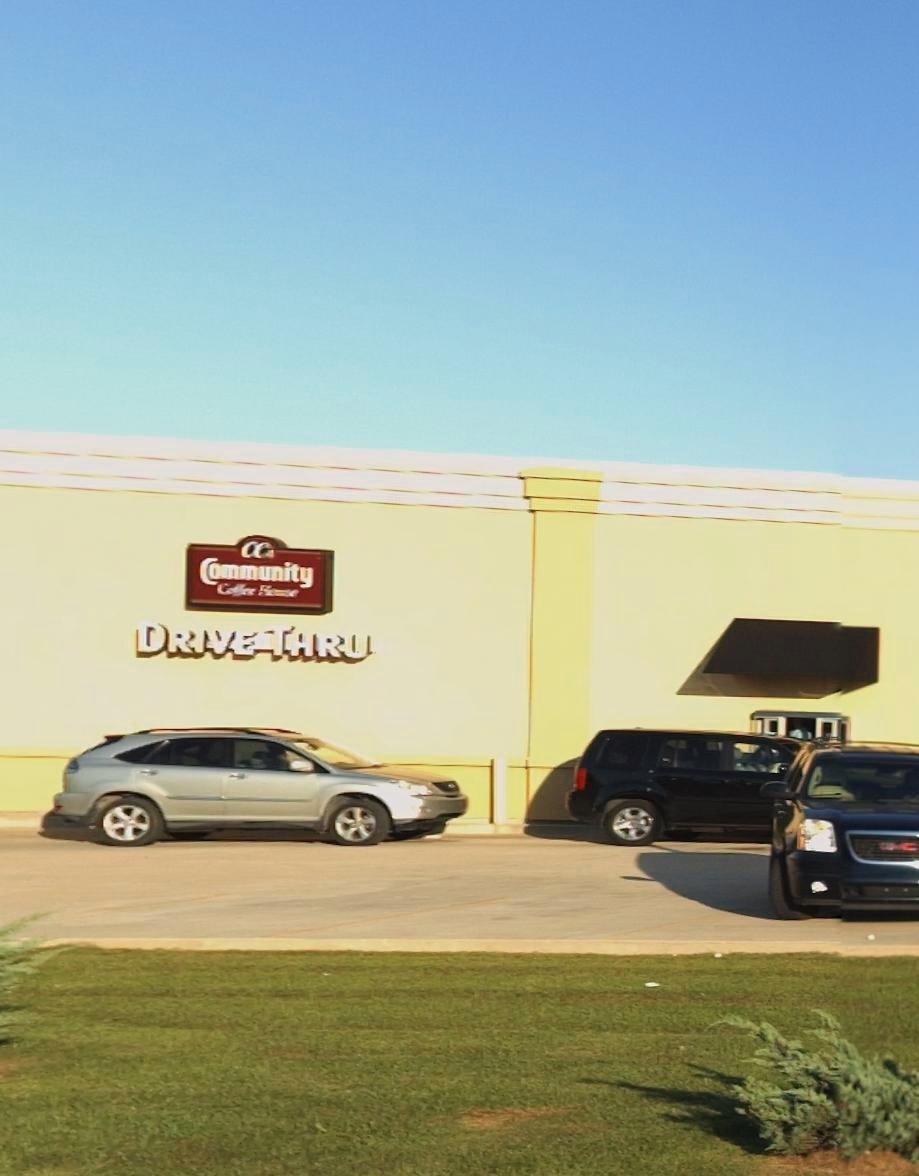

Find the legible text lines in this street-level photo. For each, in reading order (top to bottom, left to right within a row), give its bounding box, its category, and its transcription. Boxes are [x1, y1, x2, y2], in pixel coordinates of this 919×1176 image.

[196, 555, 318, 591] BusinessName: Community
[135, 619, 372, 662] None: DRIVE THRU
[900, 840, 918, 853] None: C